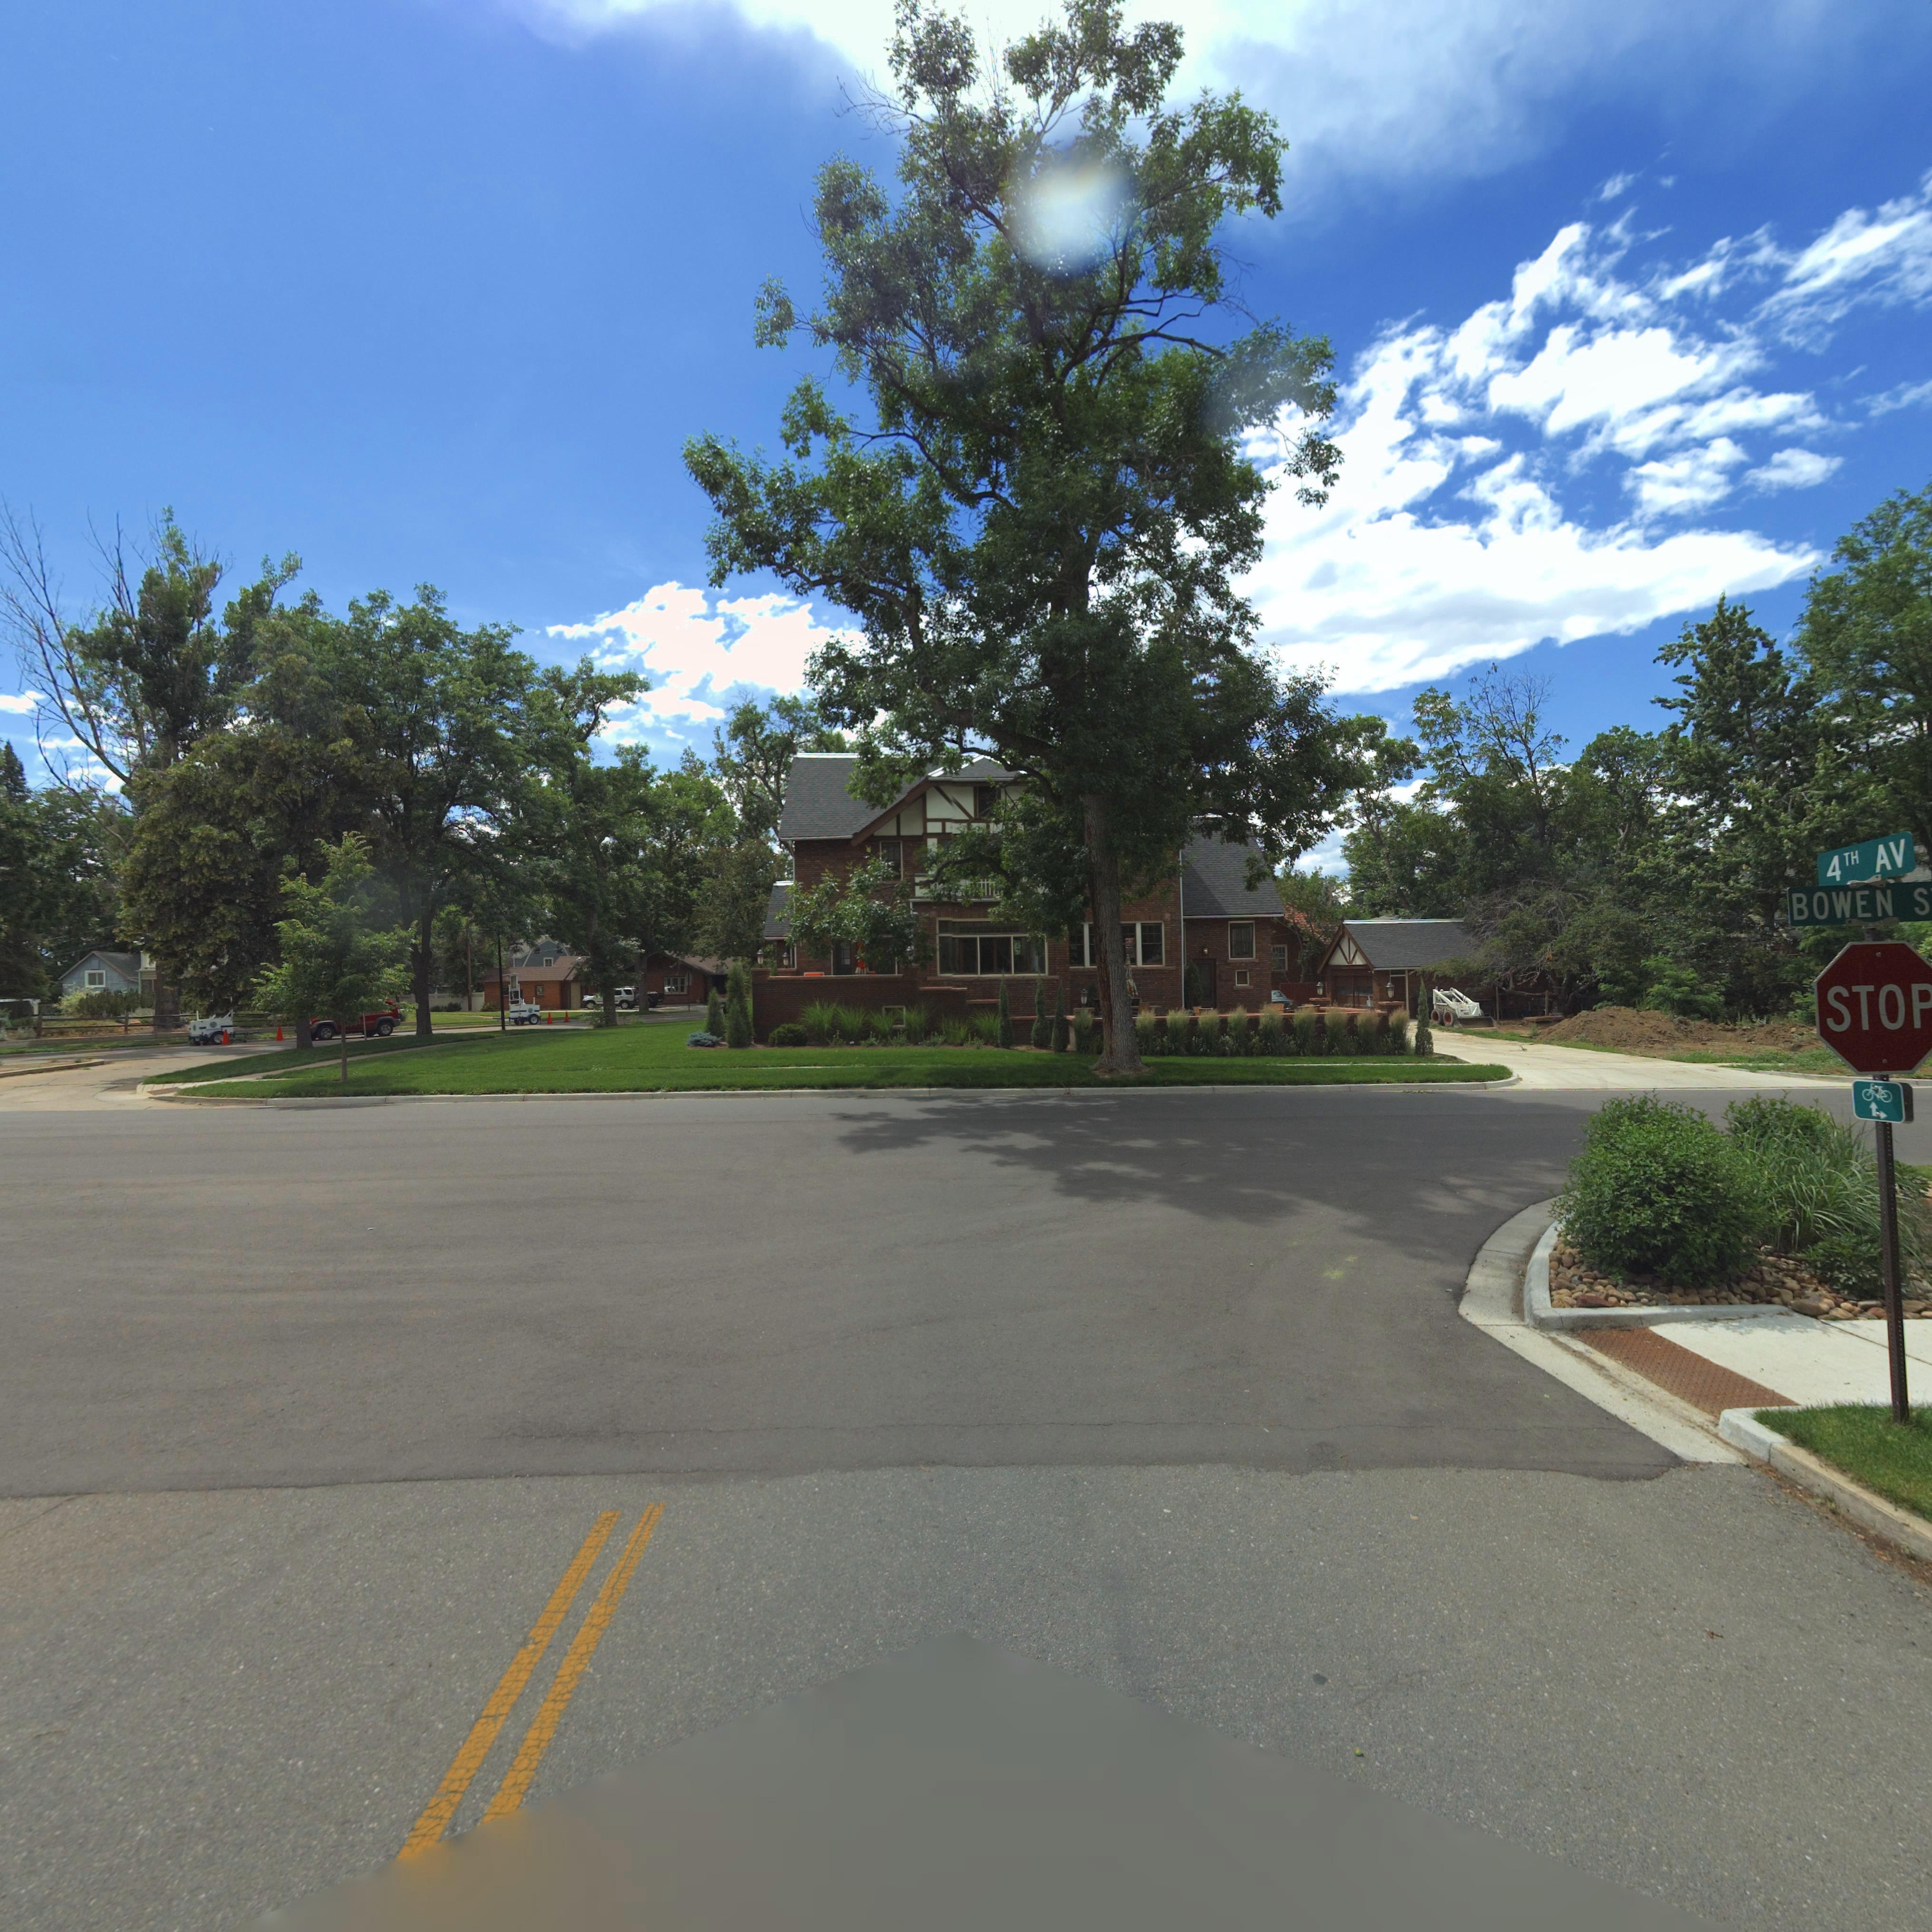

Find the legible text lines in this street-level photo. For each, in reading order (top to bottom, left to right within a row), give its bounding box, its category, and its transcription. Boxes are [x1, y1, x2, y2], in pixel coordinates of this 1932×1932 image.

[1825, 836, 1907, 882] StreetName: 4TH AV
[1791, 886, 1931, 921] StreetName: BOWEN S